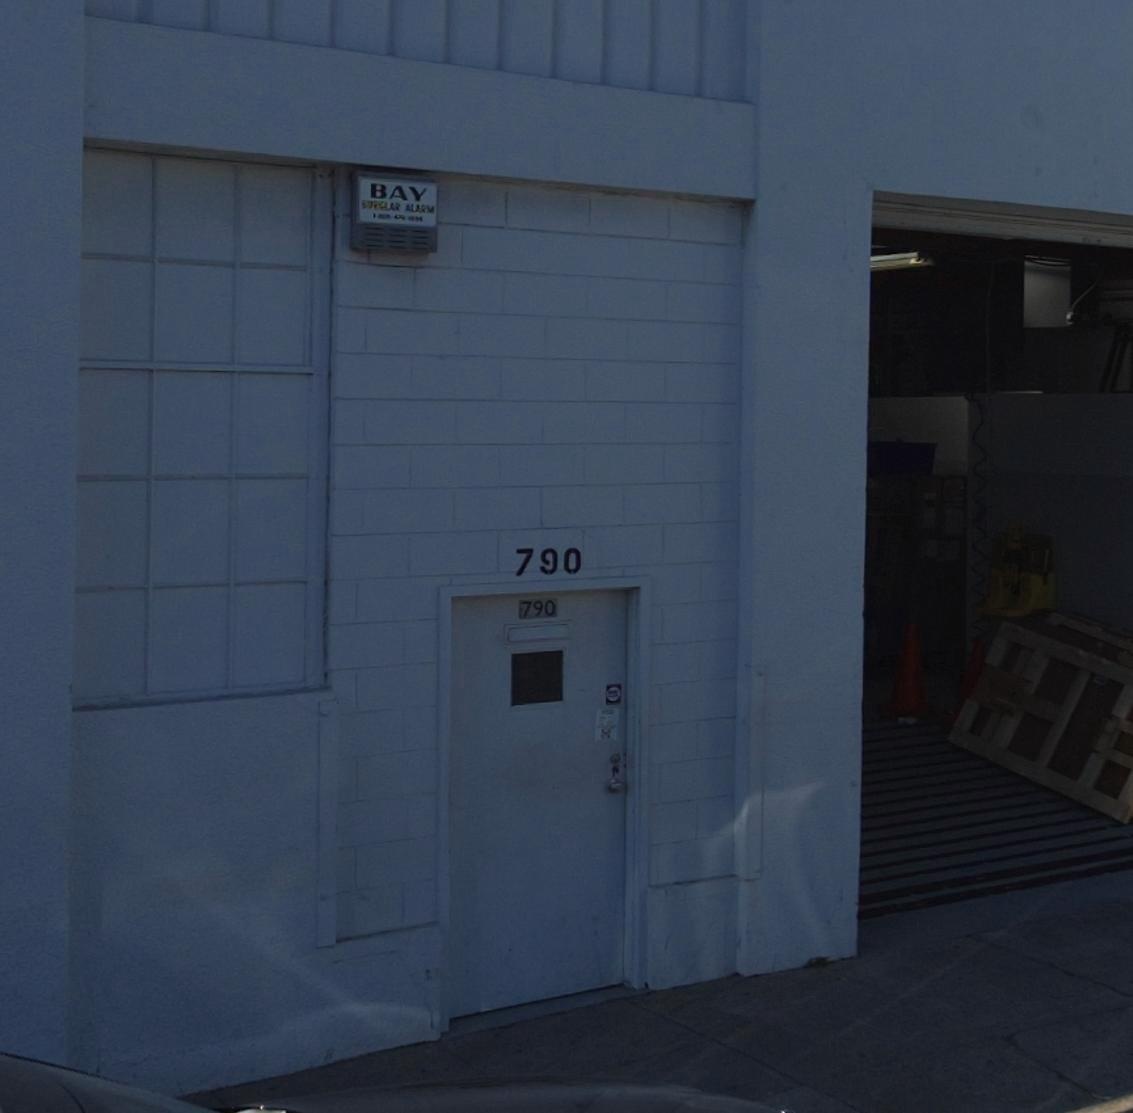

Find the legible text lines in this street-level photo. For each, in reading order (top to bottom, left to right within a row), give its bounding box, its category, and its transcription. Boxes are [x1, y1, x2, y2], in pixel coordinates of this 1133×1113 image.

[368, 181, 430, 203] None: BAY
[359, 197, 436, 214] None: BURGLAR ALARM
[513, 545, 582, 578] StreetNumber: 790
[519, 598, 556, 619] StreetNumber: 790